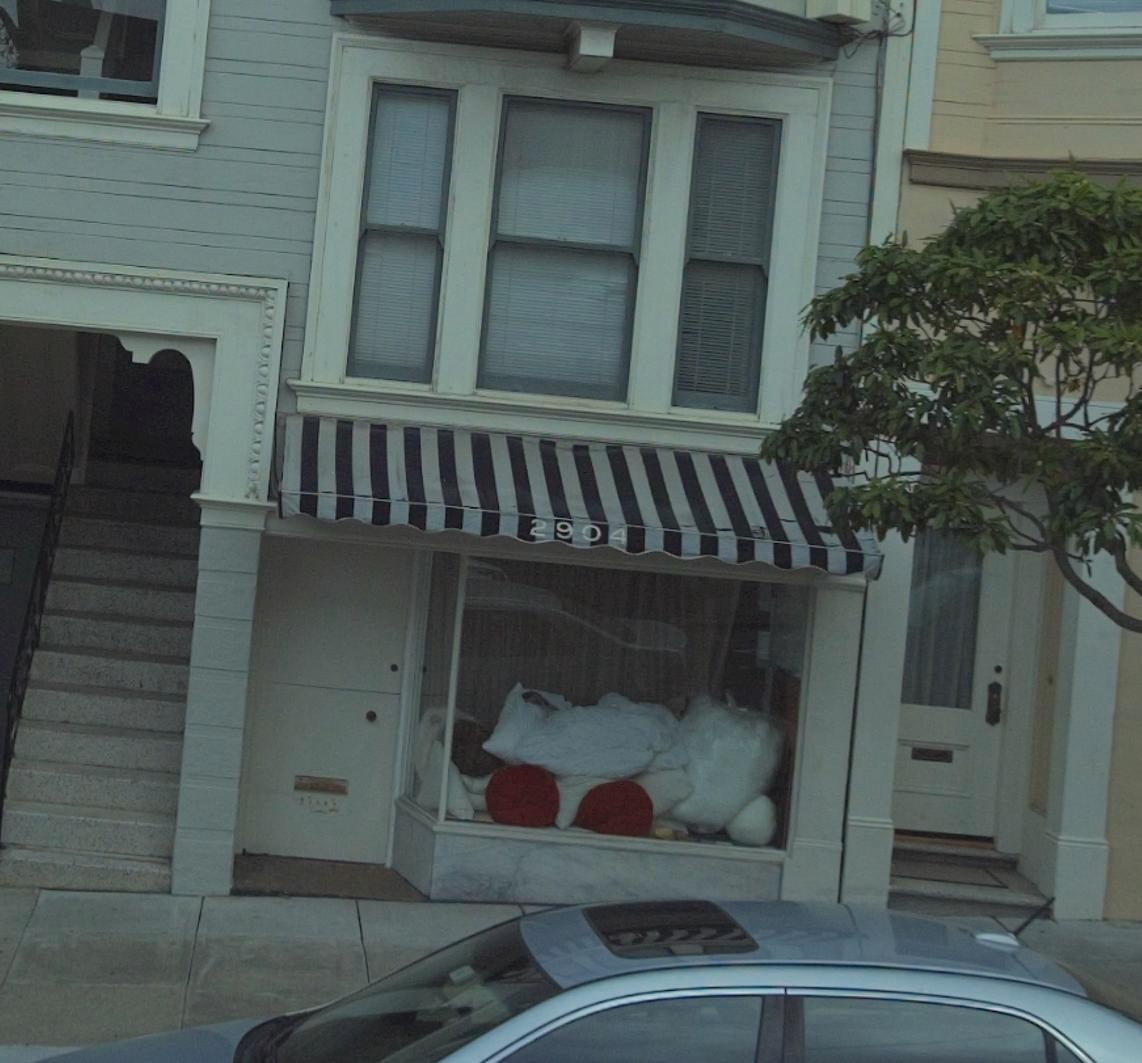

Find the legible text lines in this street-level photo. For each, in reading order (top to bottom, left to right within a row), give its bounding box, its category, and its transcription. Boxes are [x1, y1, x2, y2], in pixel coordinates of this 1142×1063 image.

[526, 516, 630, 549] StreetNumber: 2904